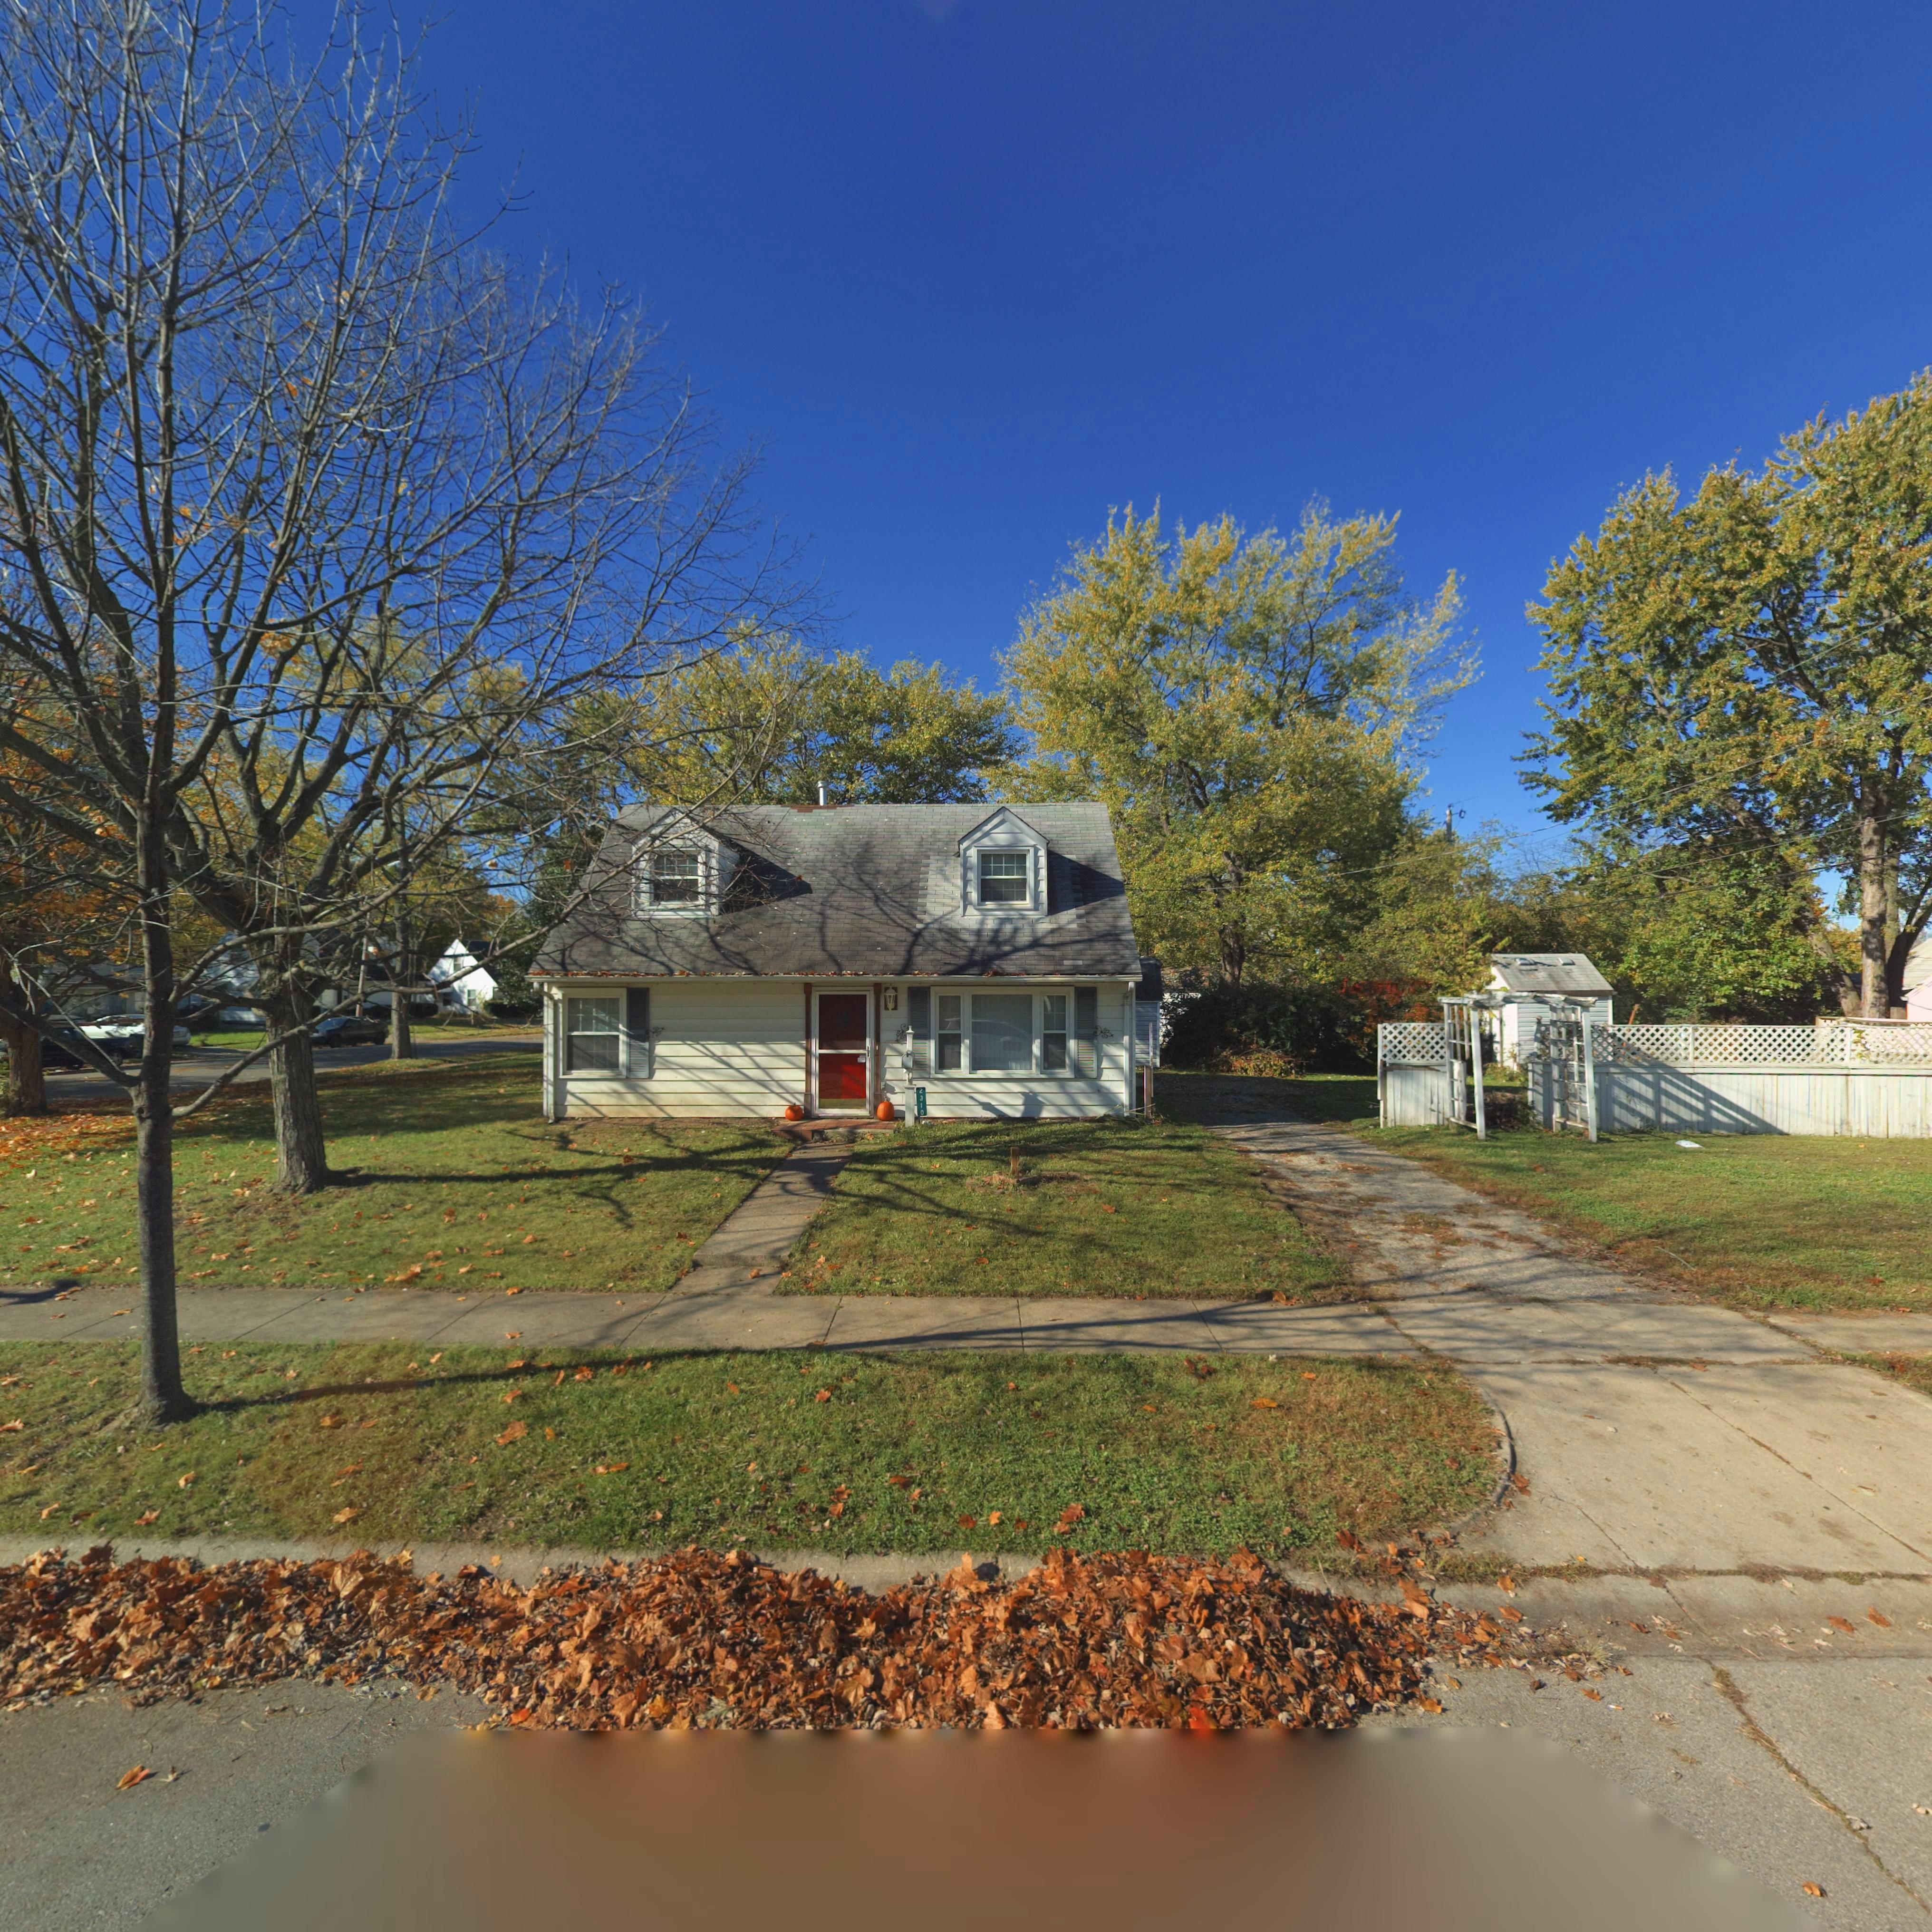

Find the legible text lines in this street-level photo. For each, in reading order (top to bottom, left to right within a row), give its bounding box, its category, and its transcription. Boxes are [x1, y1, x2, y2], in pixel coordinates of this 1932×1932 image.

[918, 1087, 925, 1116] StreetNumber: 2310